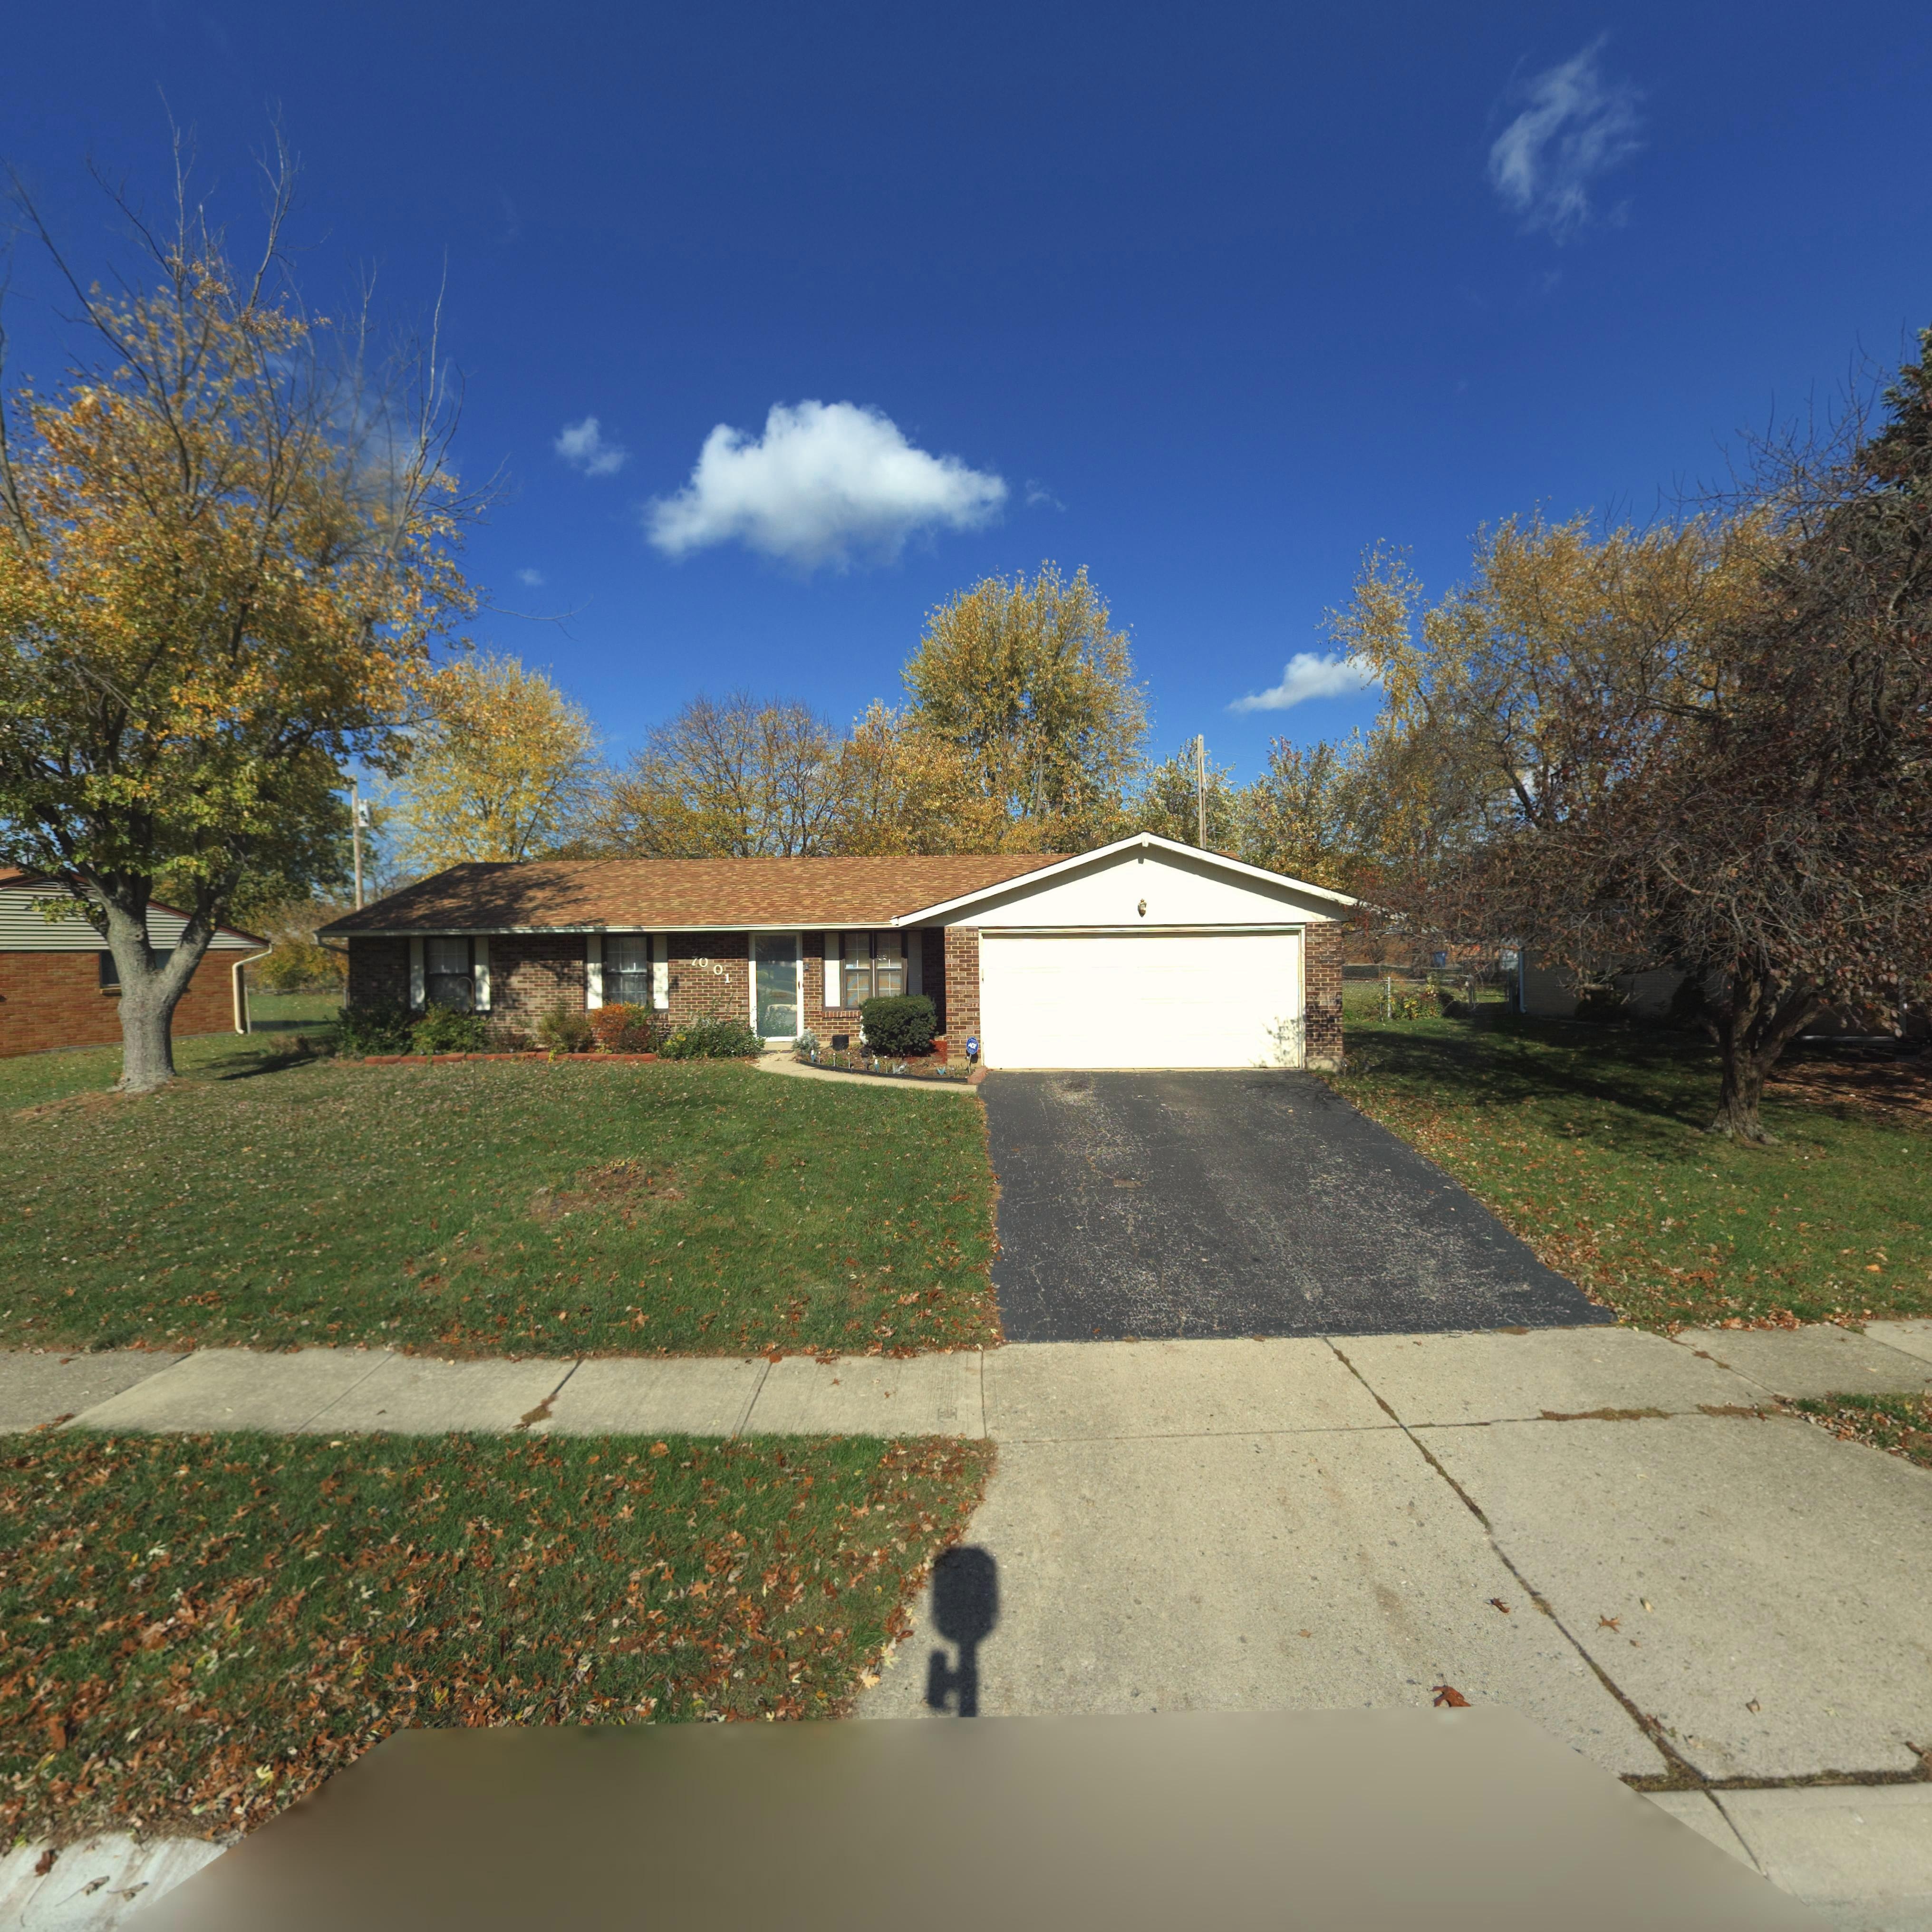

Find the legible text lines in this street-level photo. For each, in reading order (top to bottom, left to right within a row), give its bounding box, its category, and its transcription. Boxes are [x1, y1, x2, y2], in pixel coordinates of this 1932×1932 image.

[690, 955, 731, 984] StreetNumber: 7001